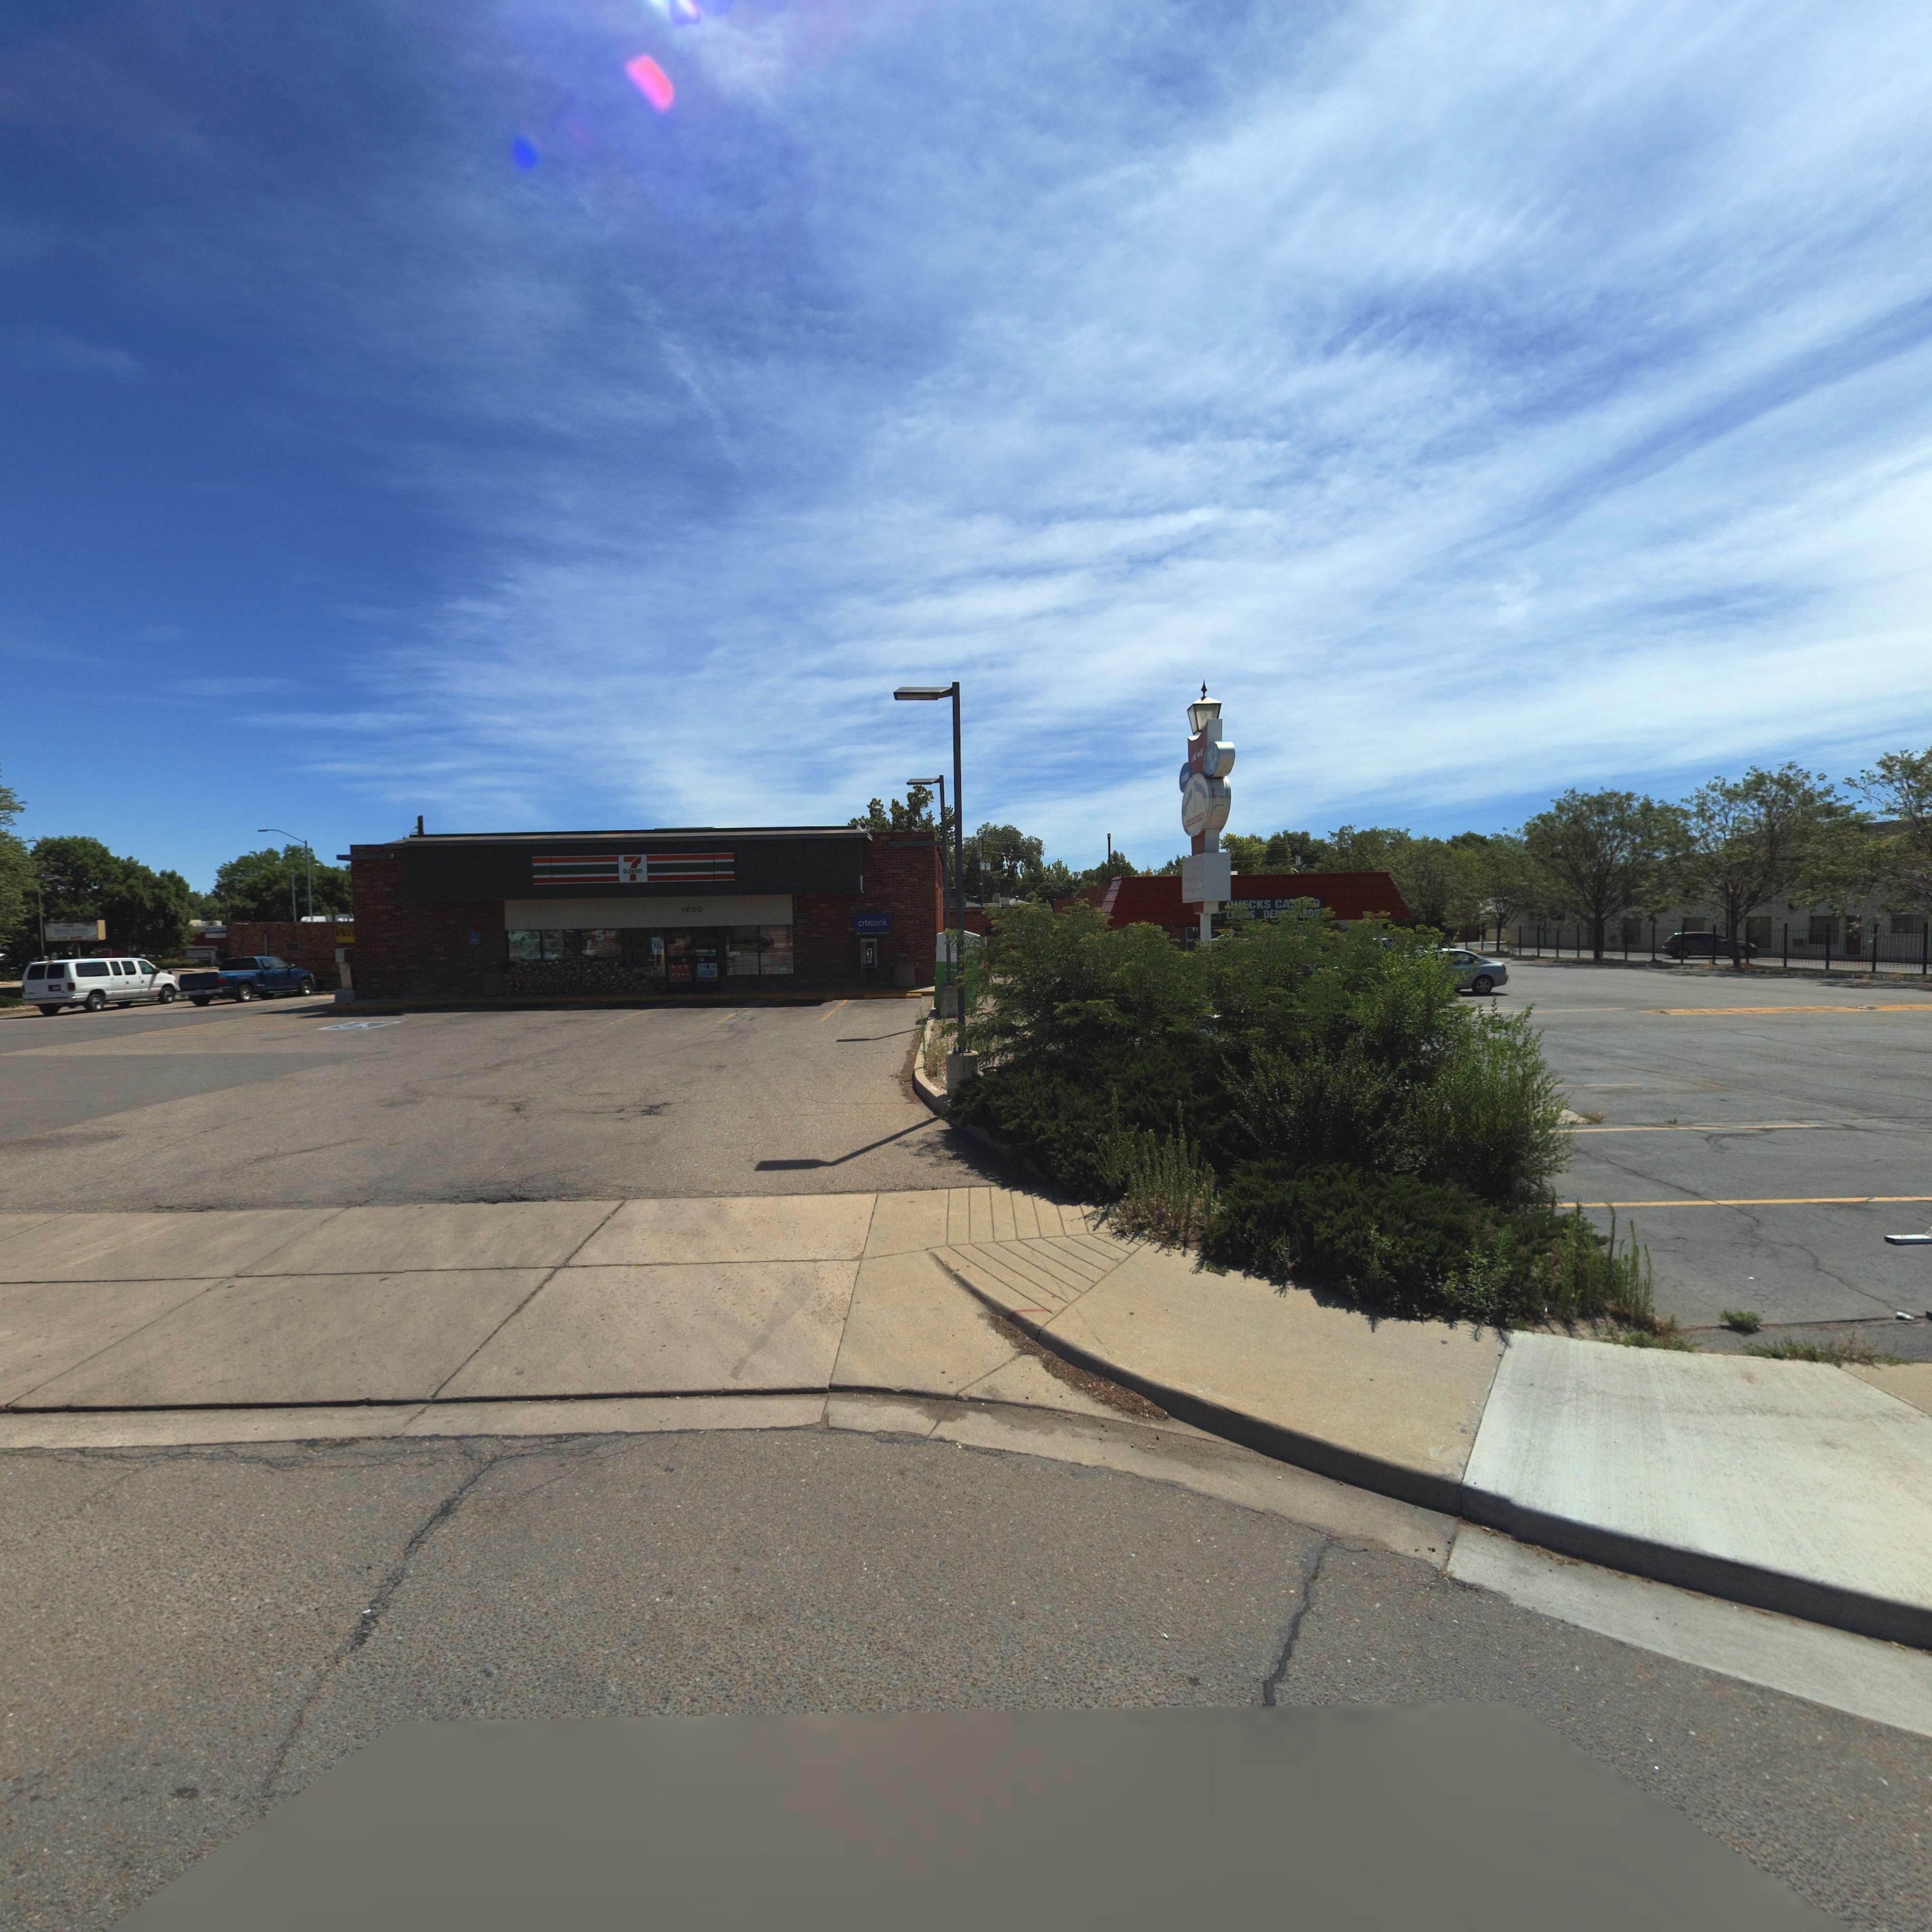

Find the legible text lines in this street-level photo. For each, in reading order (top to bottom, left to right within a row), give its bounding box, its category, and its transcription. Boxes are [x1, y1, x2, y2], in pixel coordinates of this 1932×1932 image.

[623, 855, 641, 881] BusinessName: 7
[623, 868, 643, 874] BusinessName: ELEVEn
[1225, 898, 1320, 910] BusinessName: ***CKS CA****
[681, 906, 703, 912] StreetNumber: 1650
[1210, 915, 1222, 919] BusinessName: *C*
[337, 925, 355, 930] BusinessName: *OL*
[338, 930, 354, 936] BusinessName: ** *O